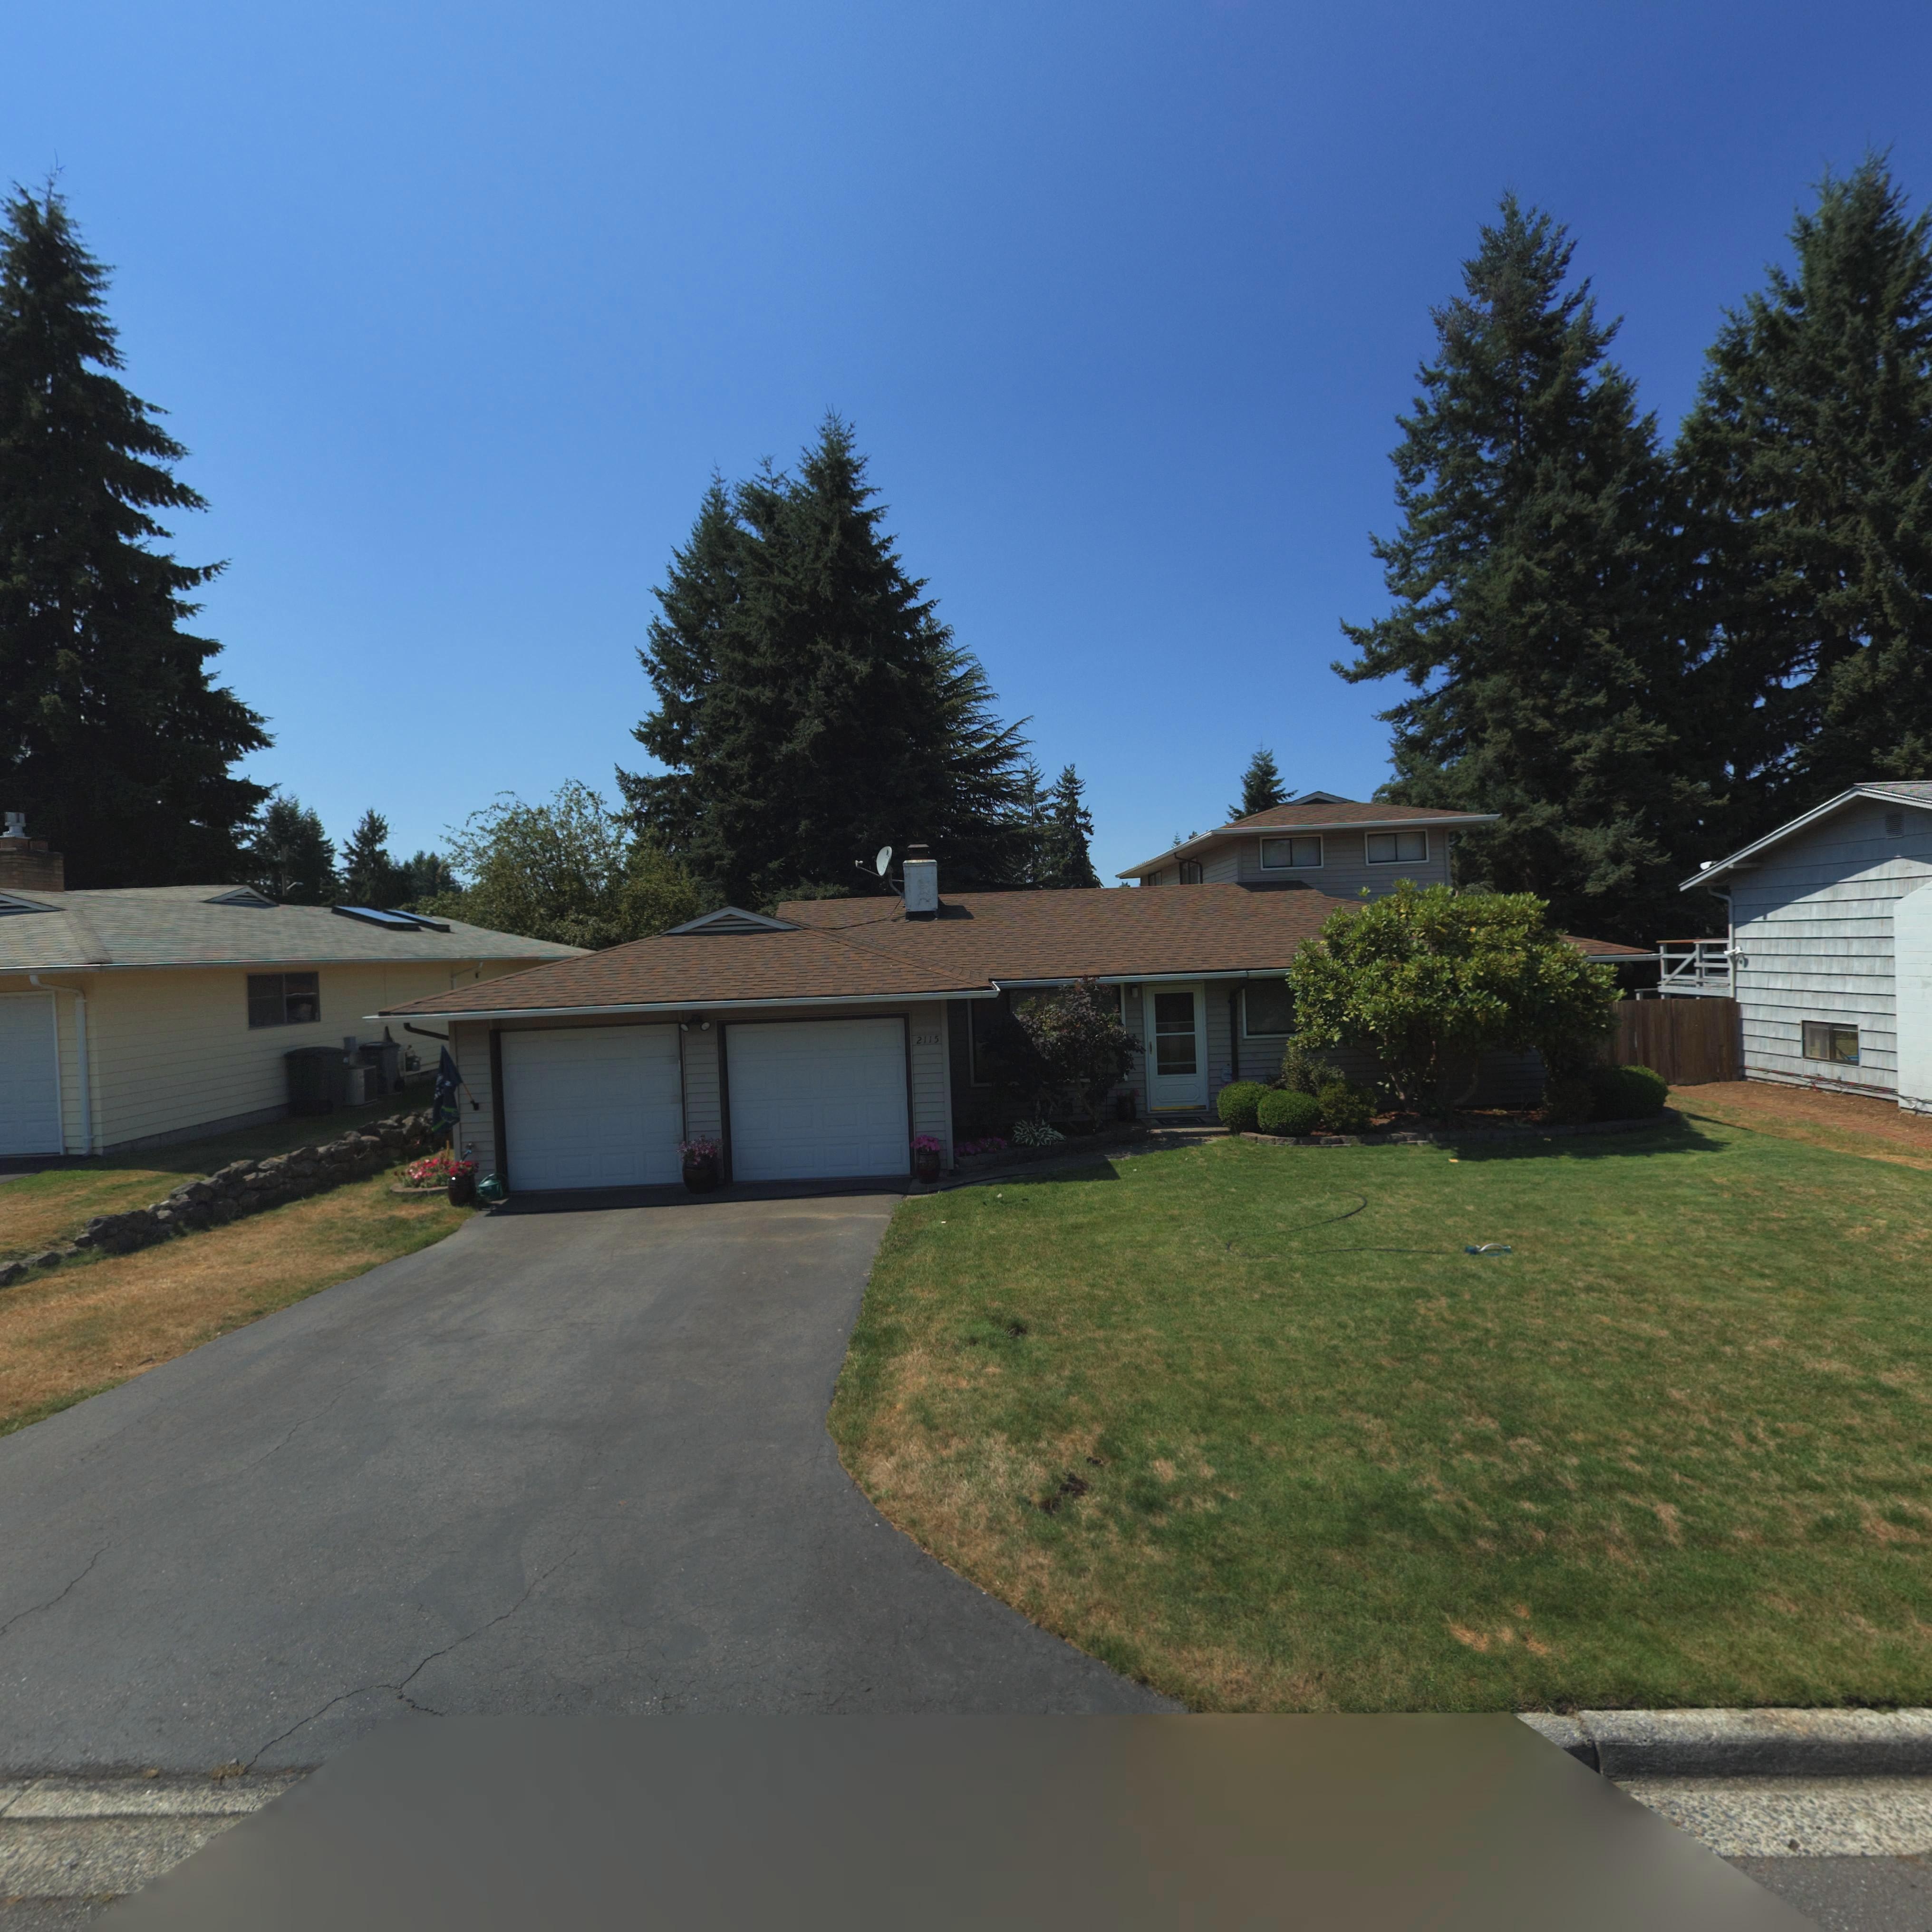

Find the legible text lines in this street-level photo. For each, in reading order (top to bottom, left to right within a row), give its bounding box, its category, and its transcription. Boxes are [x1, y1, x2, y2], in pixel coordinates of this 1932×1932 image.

[913, 1035, 940, 1045] StreetNumber: 2115